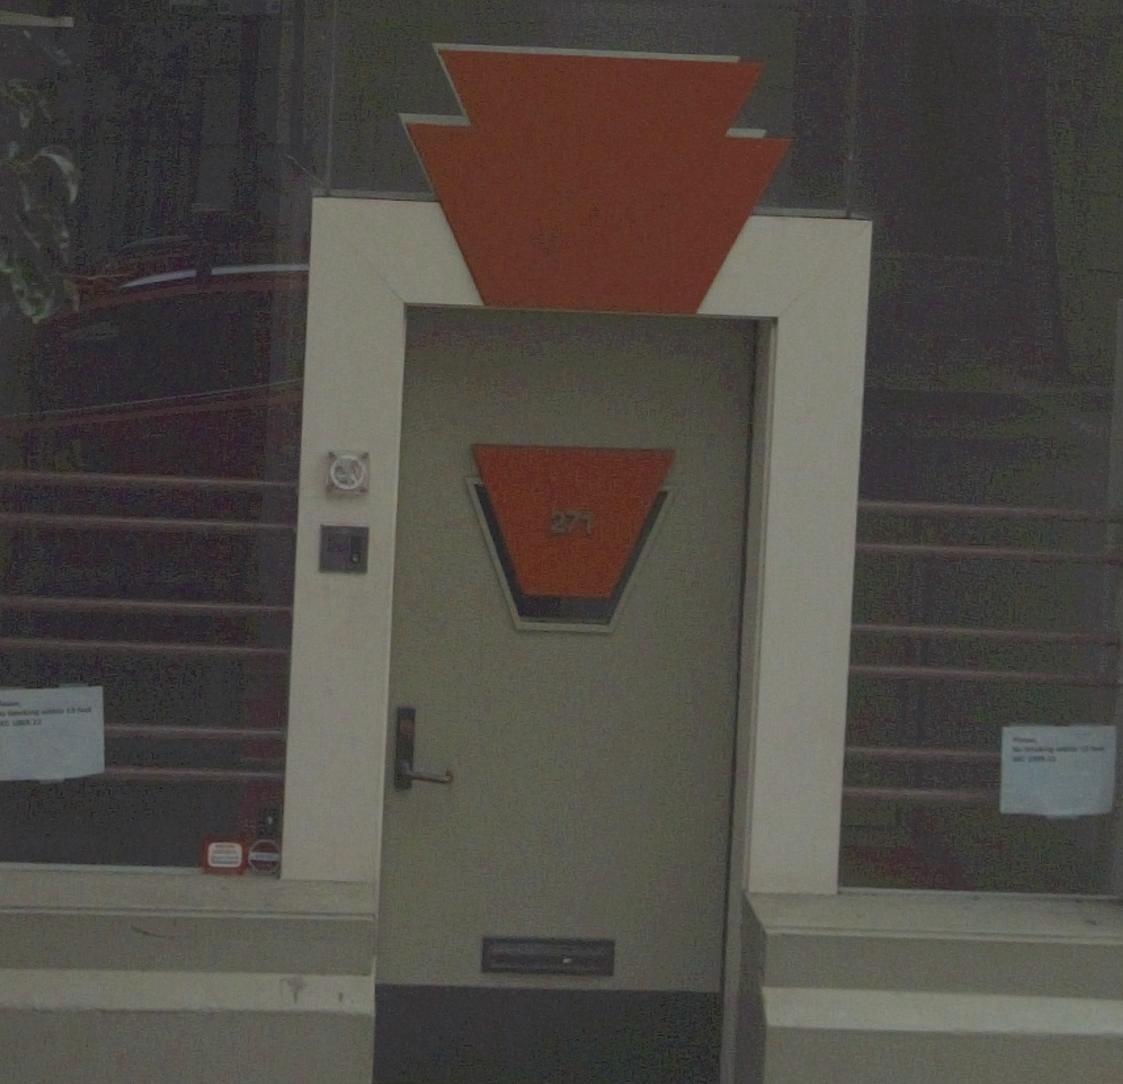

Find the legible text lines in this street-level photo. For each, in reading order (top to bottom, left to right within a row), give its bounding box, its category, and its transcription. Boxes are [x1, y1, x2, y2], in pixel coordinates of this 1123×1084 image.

[545, 507, 596, 537] StreetNumber: 271